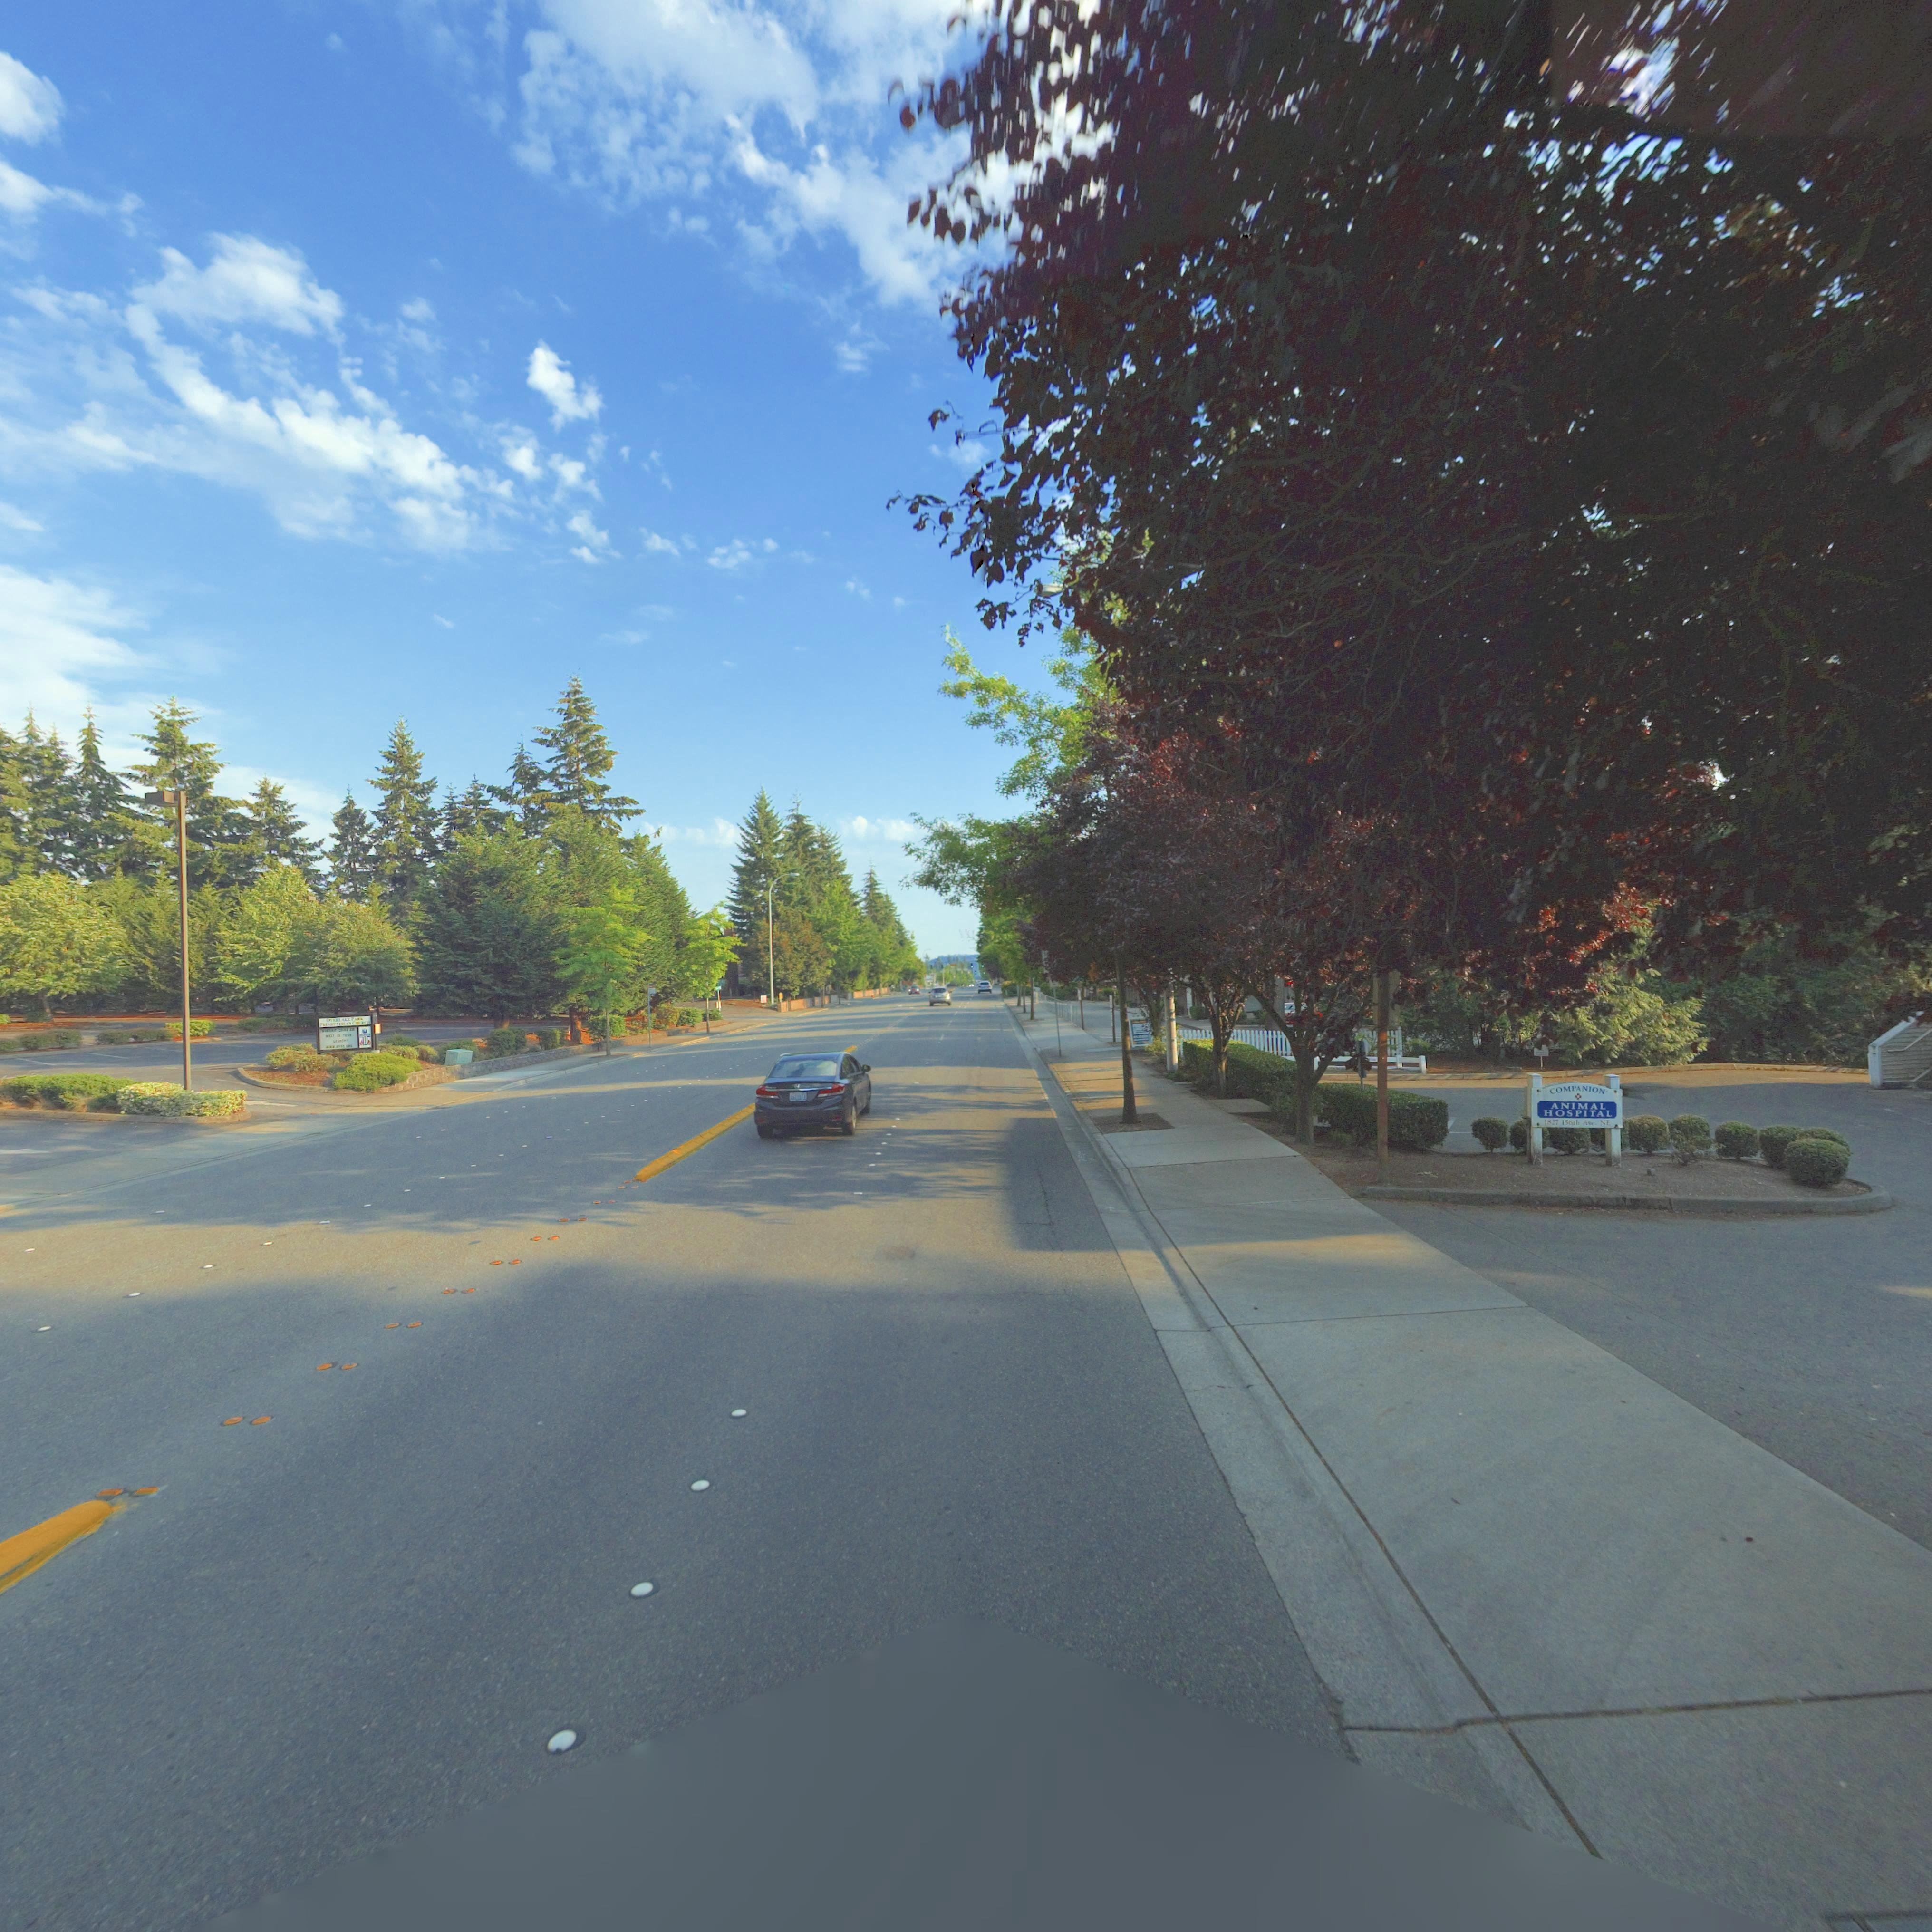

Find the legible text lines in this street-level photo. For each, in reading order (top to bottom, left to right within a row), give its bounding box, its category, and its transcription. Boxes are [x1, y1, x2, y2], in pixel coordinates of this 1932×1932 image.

[1547, 1084, 1607, 1096] BusinessName: COMPANION
[1550, 1101, 1607, 1110] BusinessName: ANIMAL
[1543, 1110, 1613, 1117] BusinessName: HOSPITAL
[1544, 1118, 1559, 1125] StreetNumber: 1827
[1562, 1119, 1611, 1126] StreetName: 156th Ave. NE